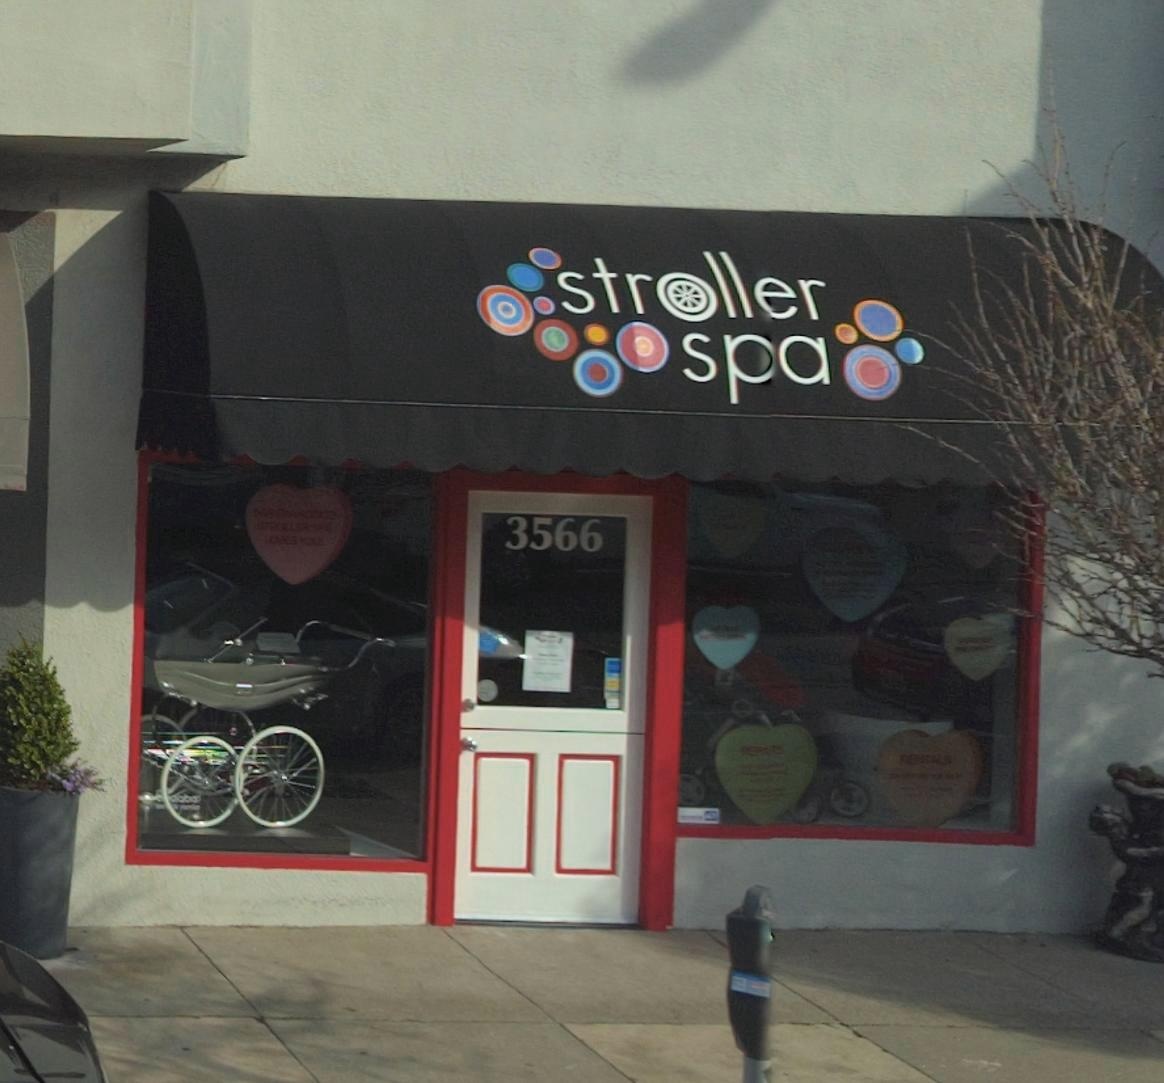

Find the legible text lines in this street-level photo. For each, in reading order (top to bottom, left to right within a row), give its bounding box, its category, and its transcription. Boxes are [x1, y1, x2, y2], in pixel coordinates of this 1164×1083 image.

[549, 246, 835, 327] BusinessName: stroller
[676, 326, 835, 408] BusinessName: spa
[501, 513, 607, 556] StreetNumber: 3566